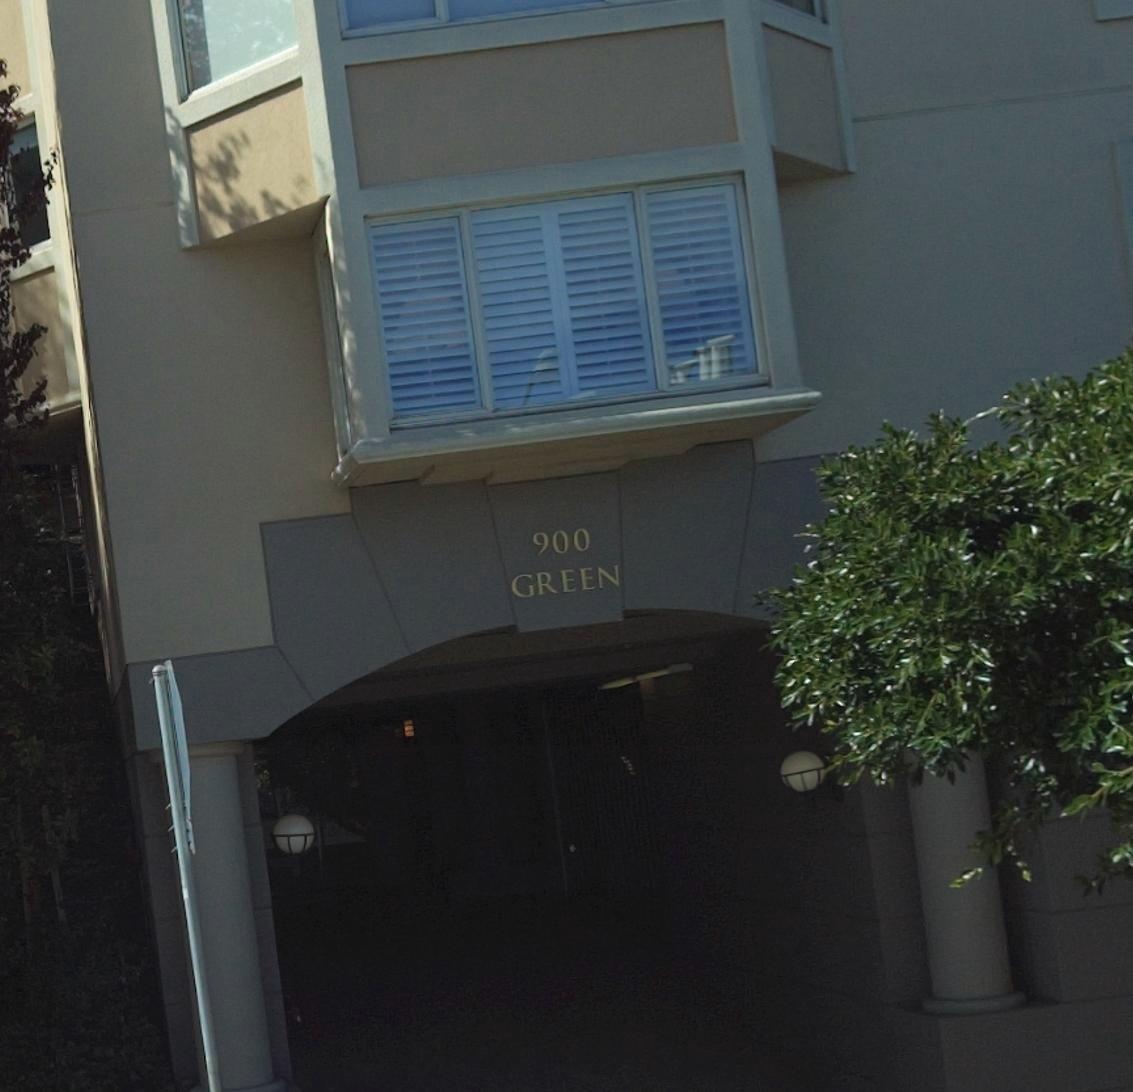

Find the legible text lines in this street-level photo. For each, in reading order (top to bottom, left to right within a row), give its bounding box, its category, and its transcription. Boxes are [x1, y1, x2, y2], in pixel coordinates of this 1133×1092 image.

[529, 526, 595, 558] StreetNumber: 900
[510, 562, 622, 600] StreetName: GREEN